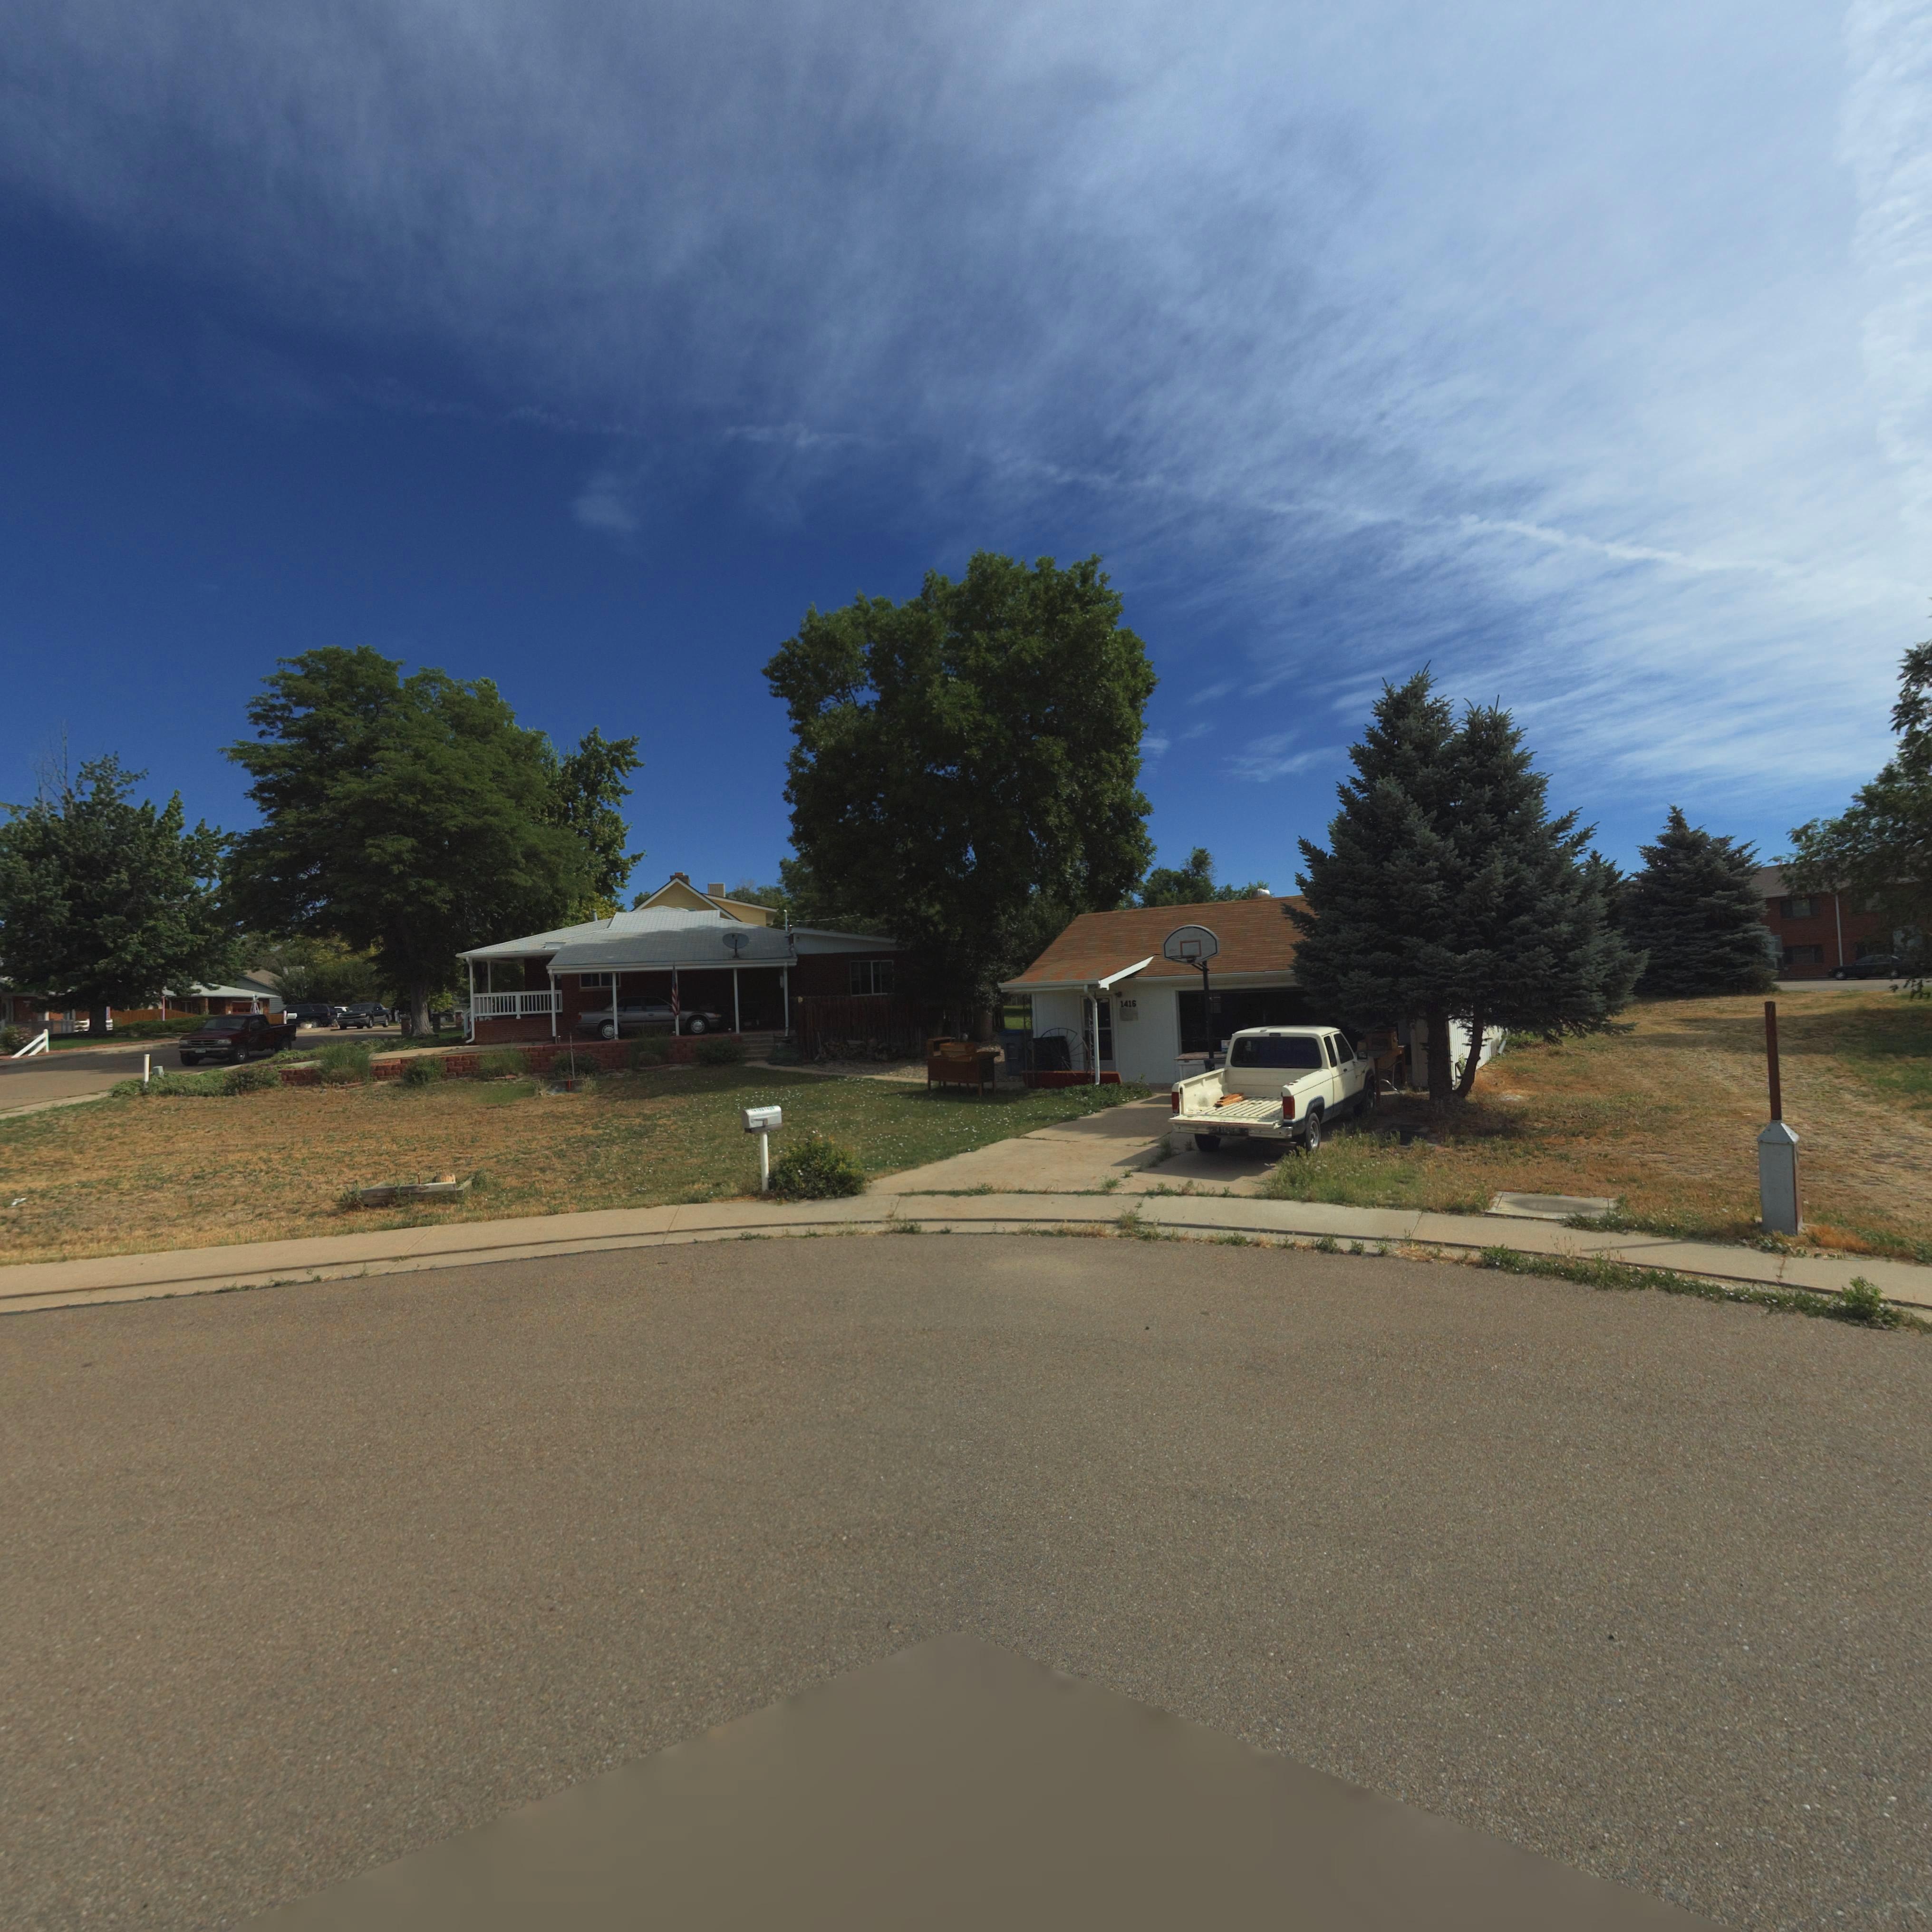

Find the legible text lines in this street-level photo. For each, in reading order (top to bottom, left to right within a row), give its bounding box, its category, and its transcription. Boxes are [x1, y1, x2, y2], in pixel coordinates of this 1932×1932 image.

[1120, 1000, 1137, 1007] StreetNumber: 1416